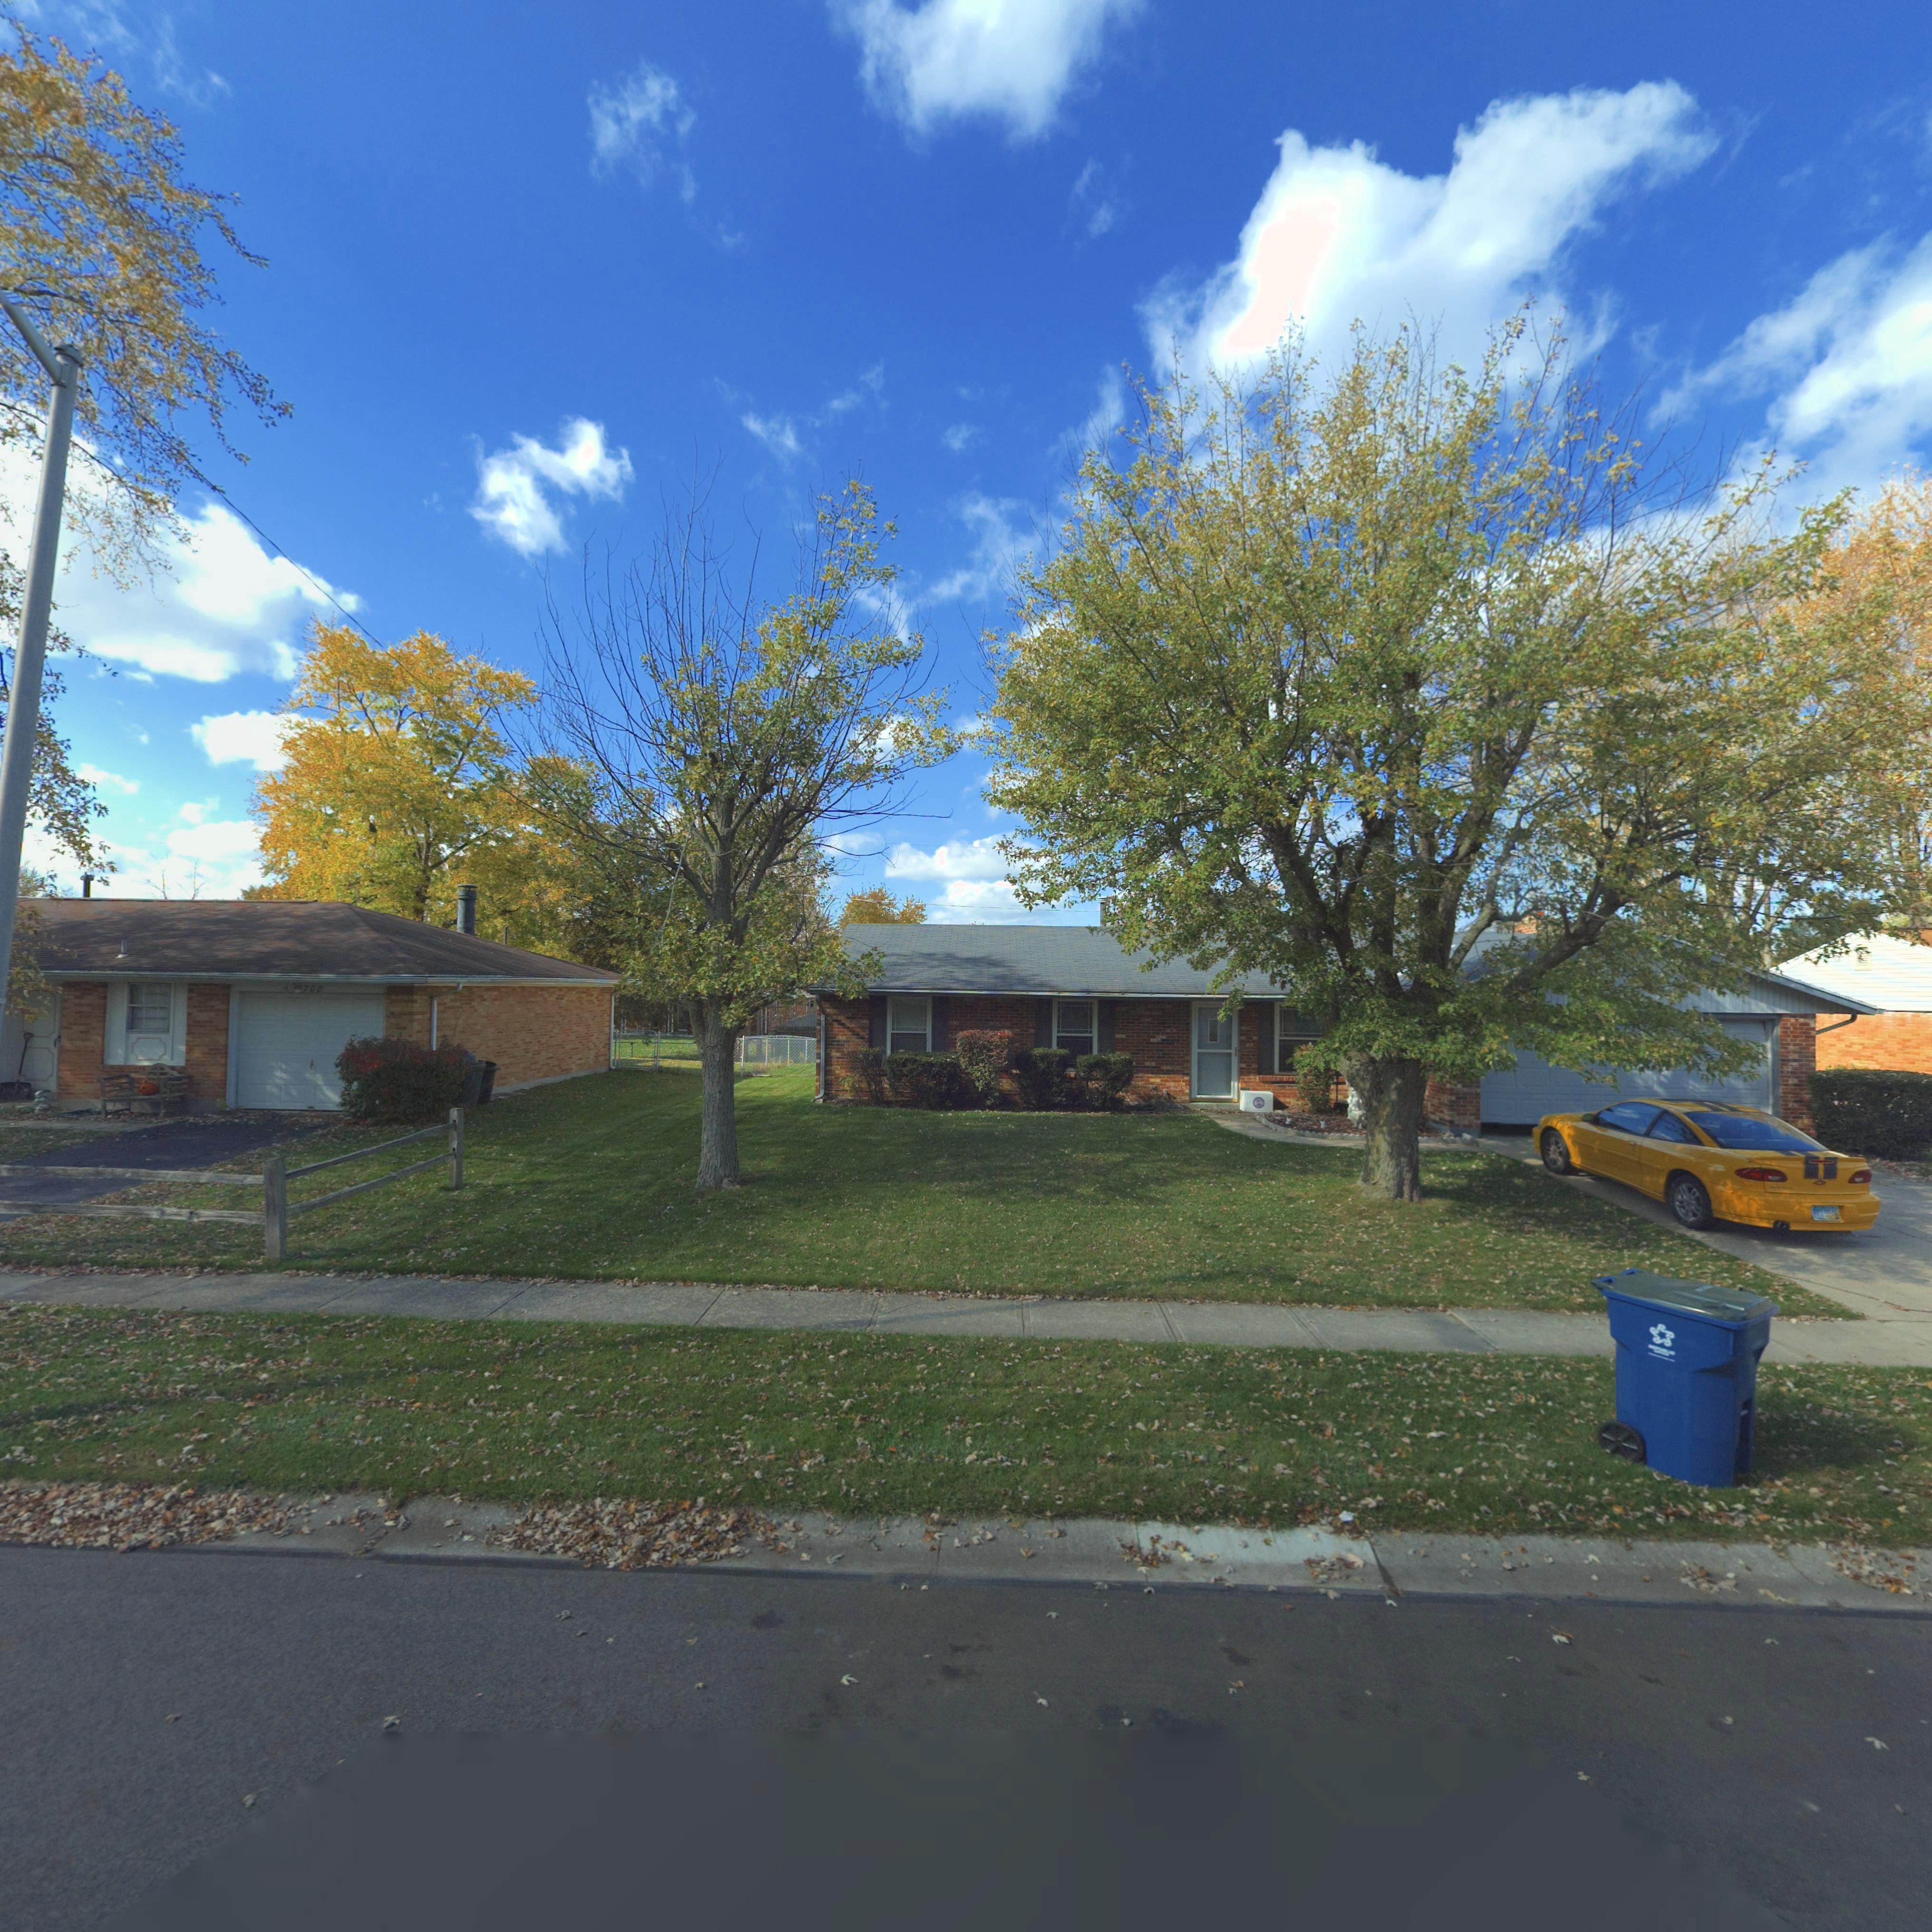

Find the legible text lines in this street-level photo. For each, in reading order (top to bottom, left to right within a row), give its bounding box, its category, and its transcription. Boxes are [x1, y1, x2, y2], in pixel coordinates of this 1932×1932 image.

[301, 985, 324, 993] StreetNumber: 700